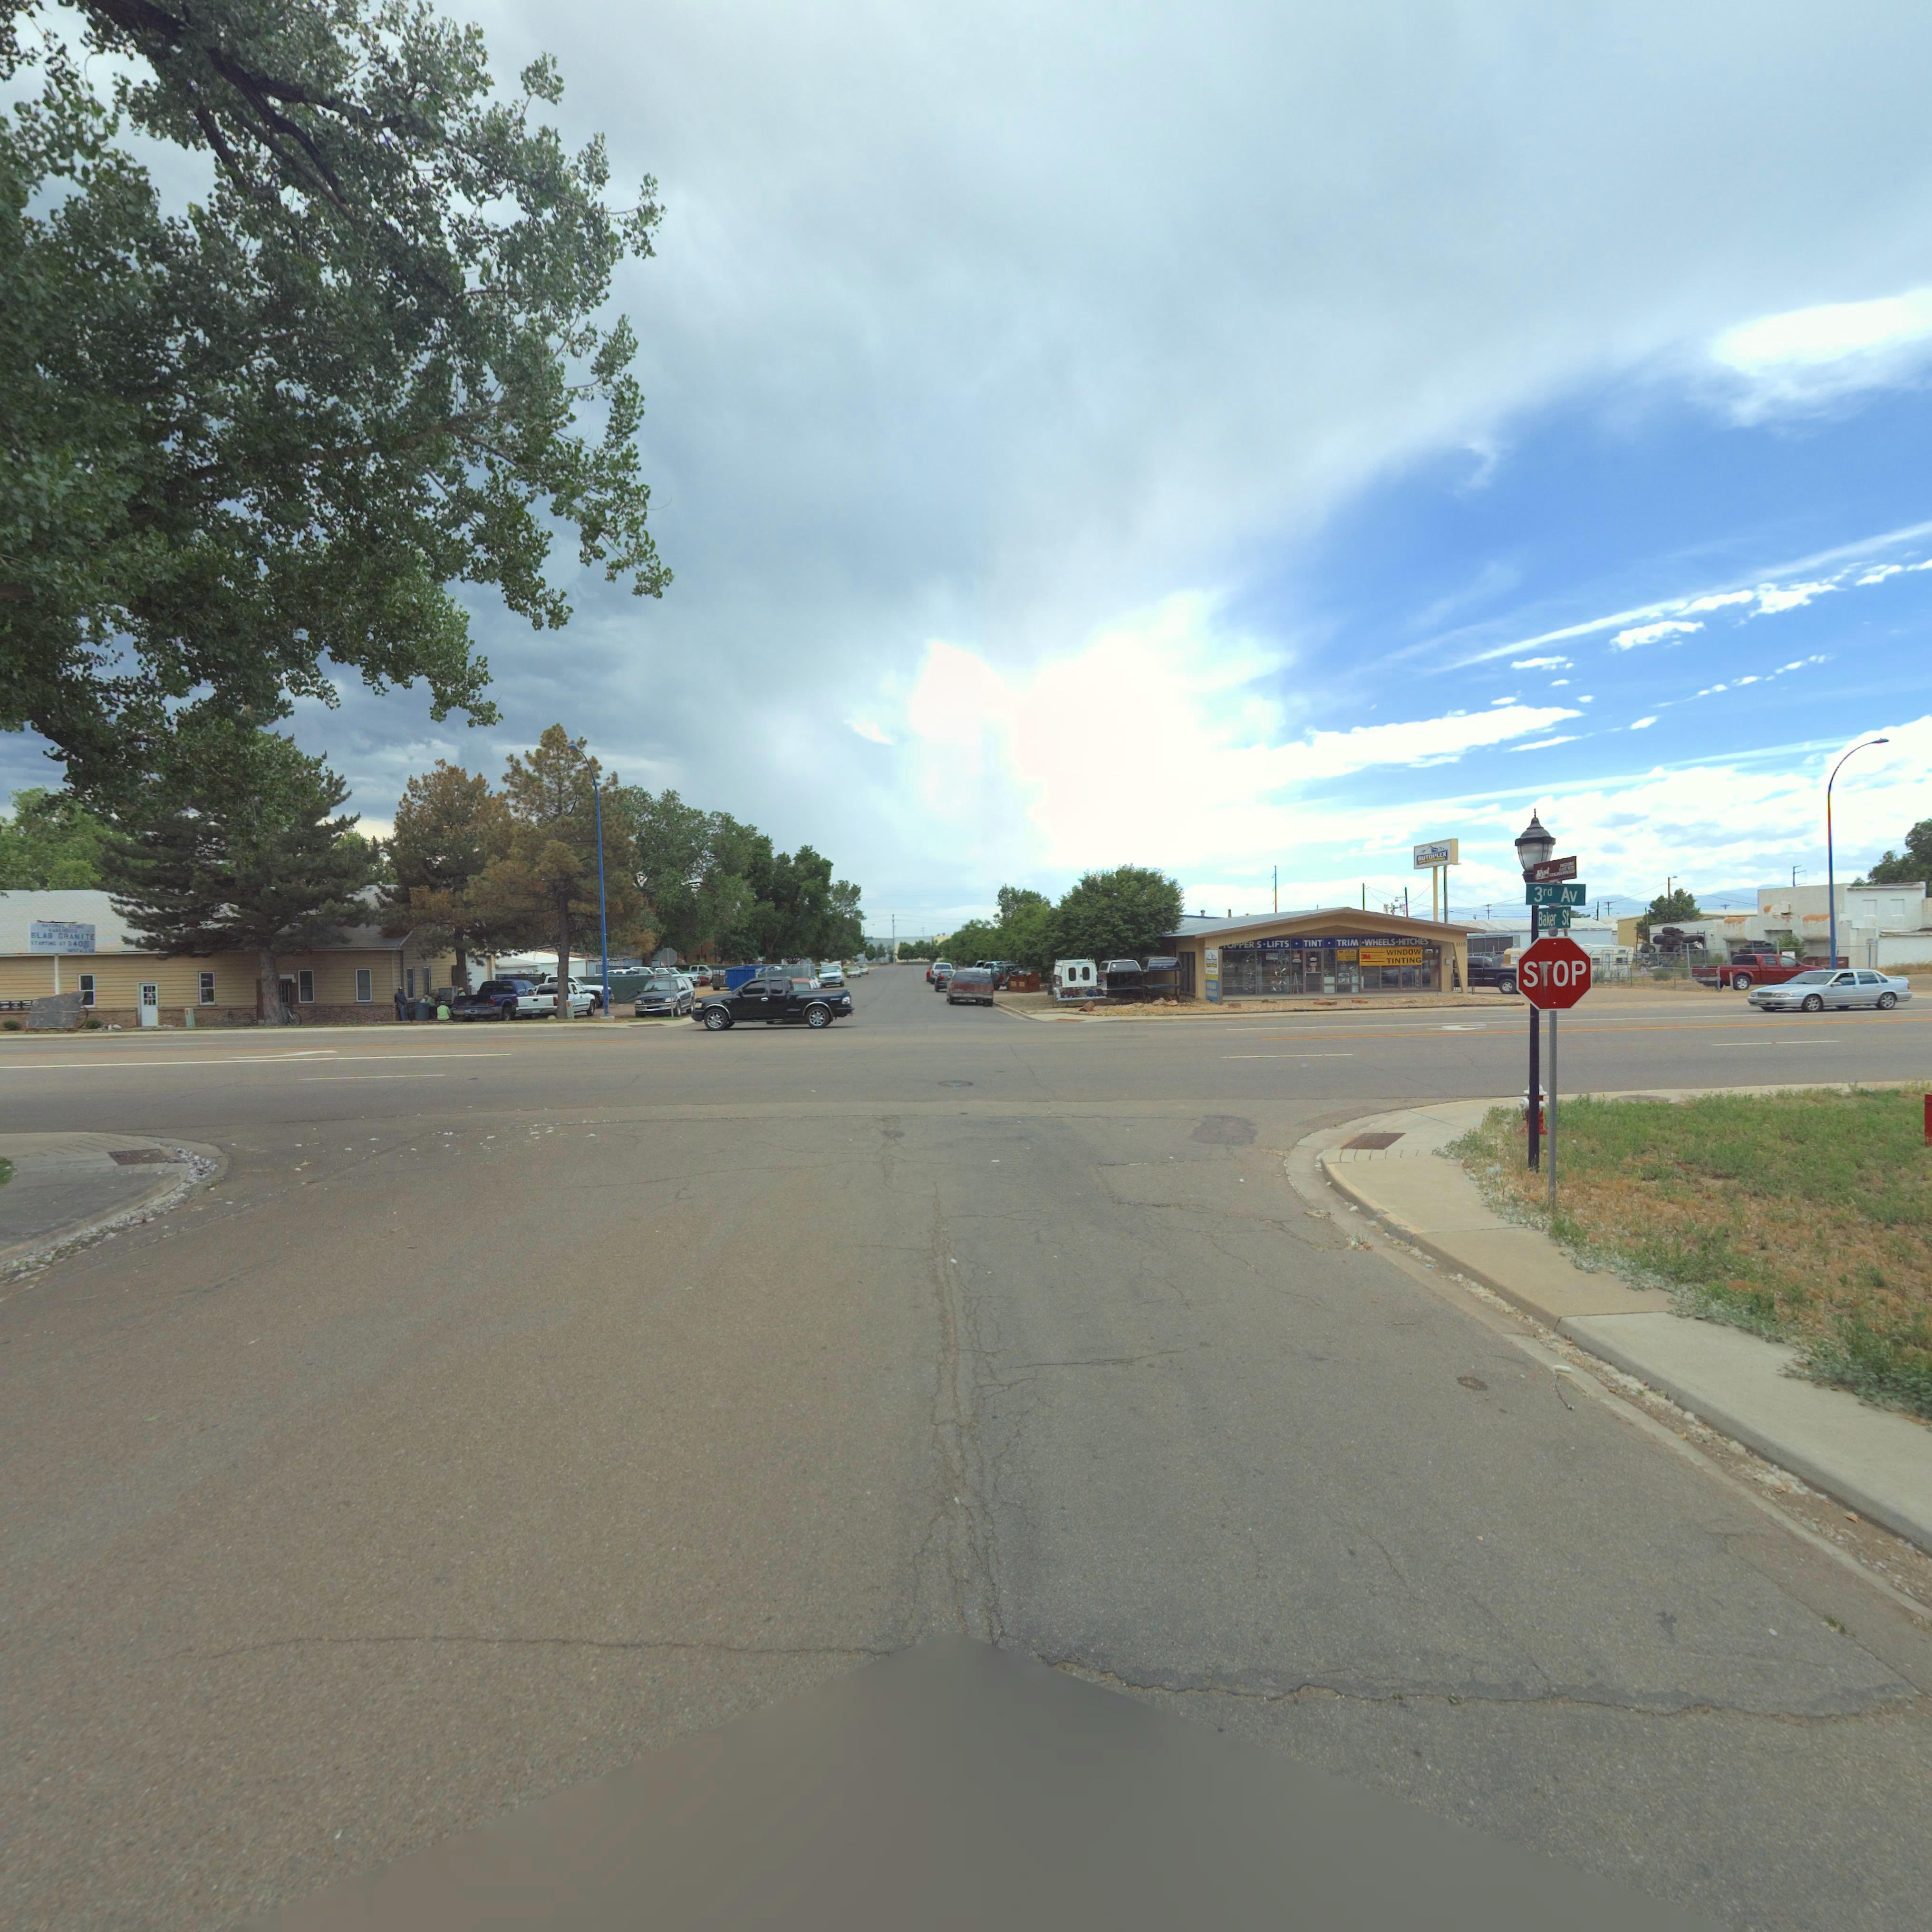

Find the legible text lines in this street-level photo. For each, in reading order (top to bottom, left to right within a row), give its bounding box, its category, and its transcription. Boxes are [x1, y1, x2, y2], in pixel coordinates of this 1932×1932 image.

[1417, 850, 1446, 861] BusinessName: AUTOPLEX
[1533, 886, 1578, 903] StreetName: 3rd Av
[1538, 909, 1569, 926] StreetName: Baker St
[48, 927, 77, 933] BusinessName: WAREHOUSE
[1455, 941, 1466, 947] StreetNumber: 105